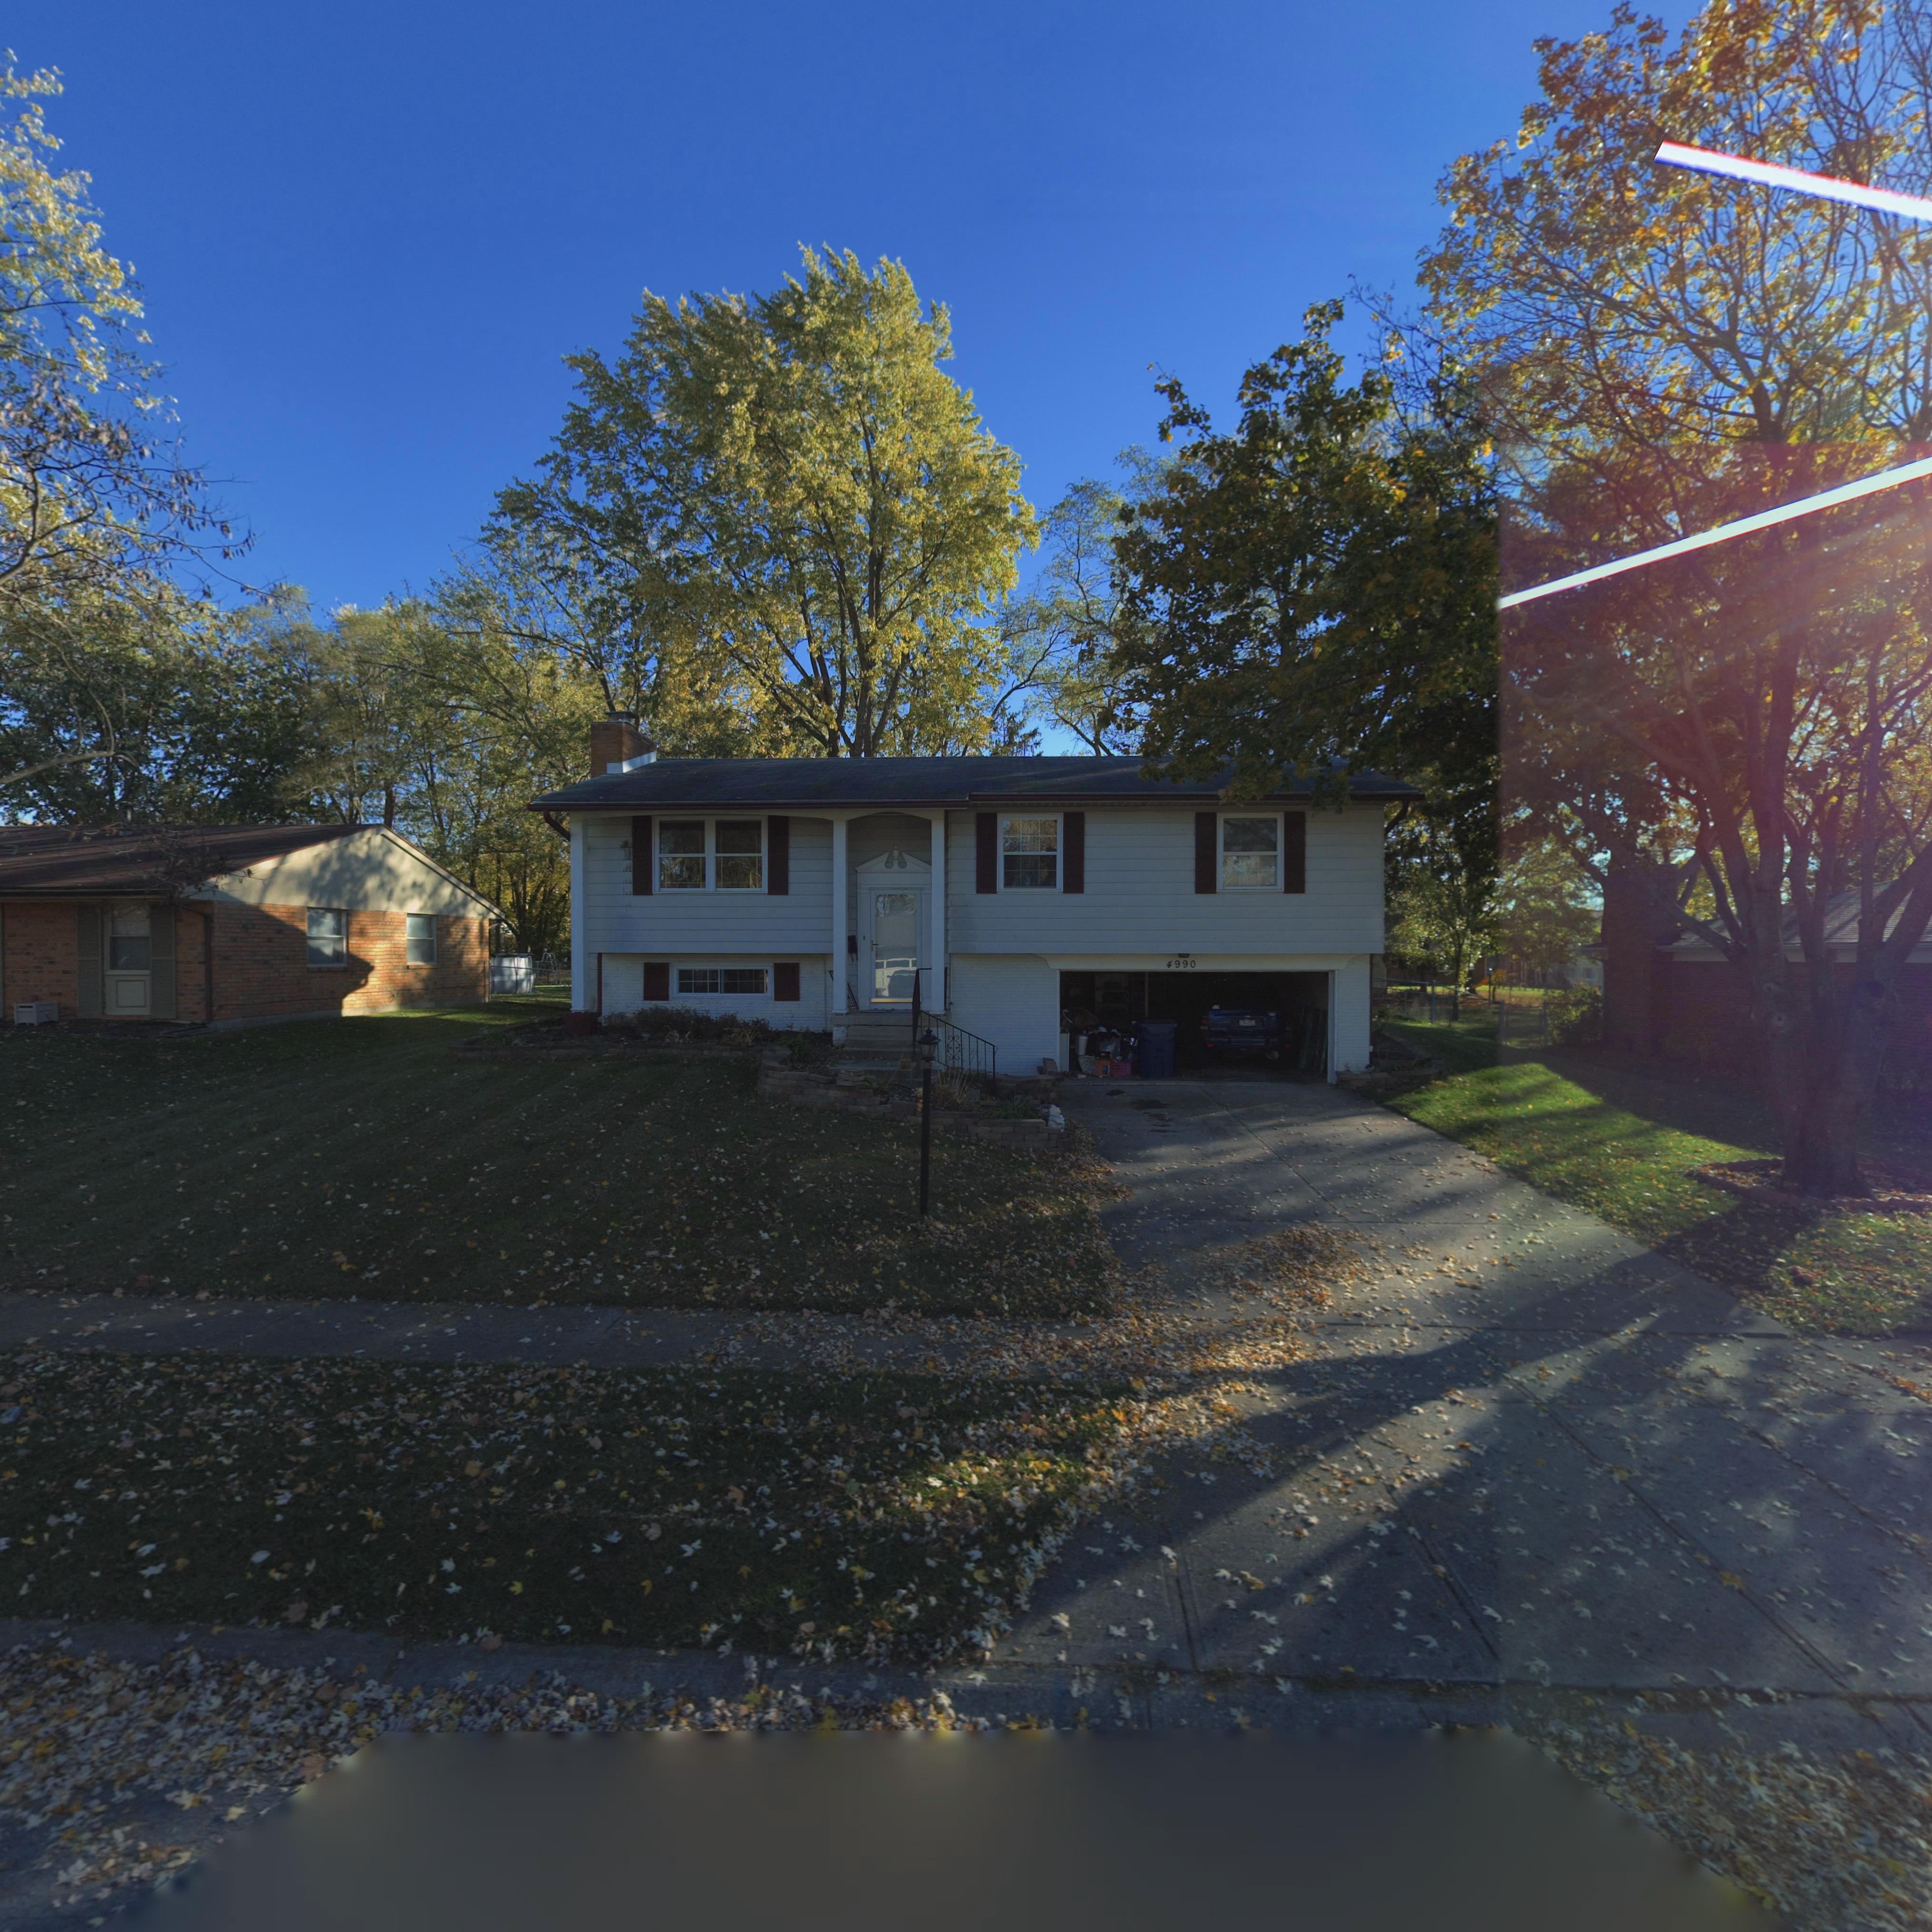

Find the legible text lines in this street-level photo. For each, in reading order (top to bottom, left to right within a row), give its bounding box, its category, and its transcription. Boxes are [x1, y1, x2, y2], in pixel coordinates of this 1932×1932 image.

[1166, 959, 1196, 968] StreetNumber: 4990